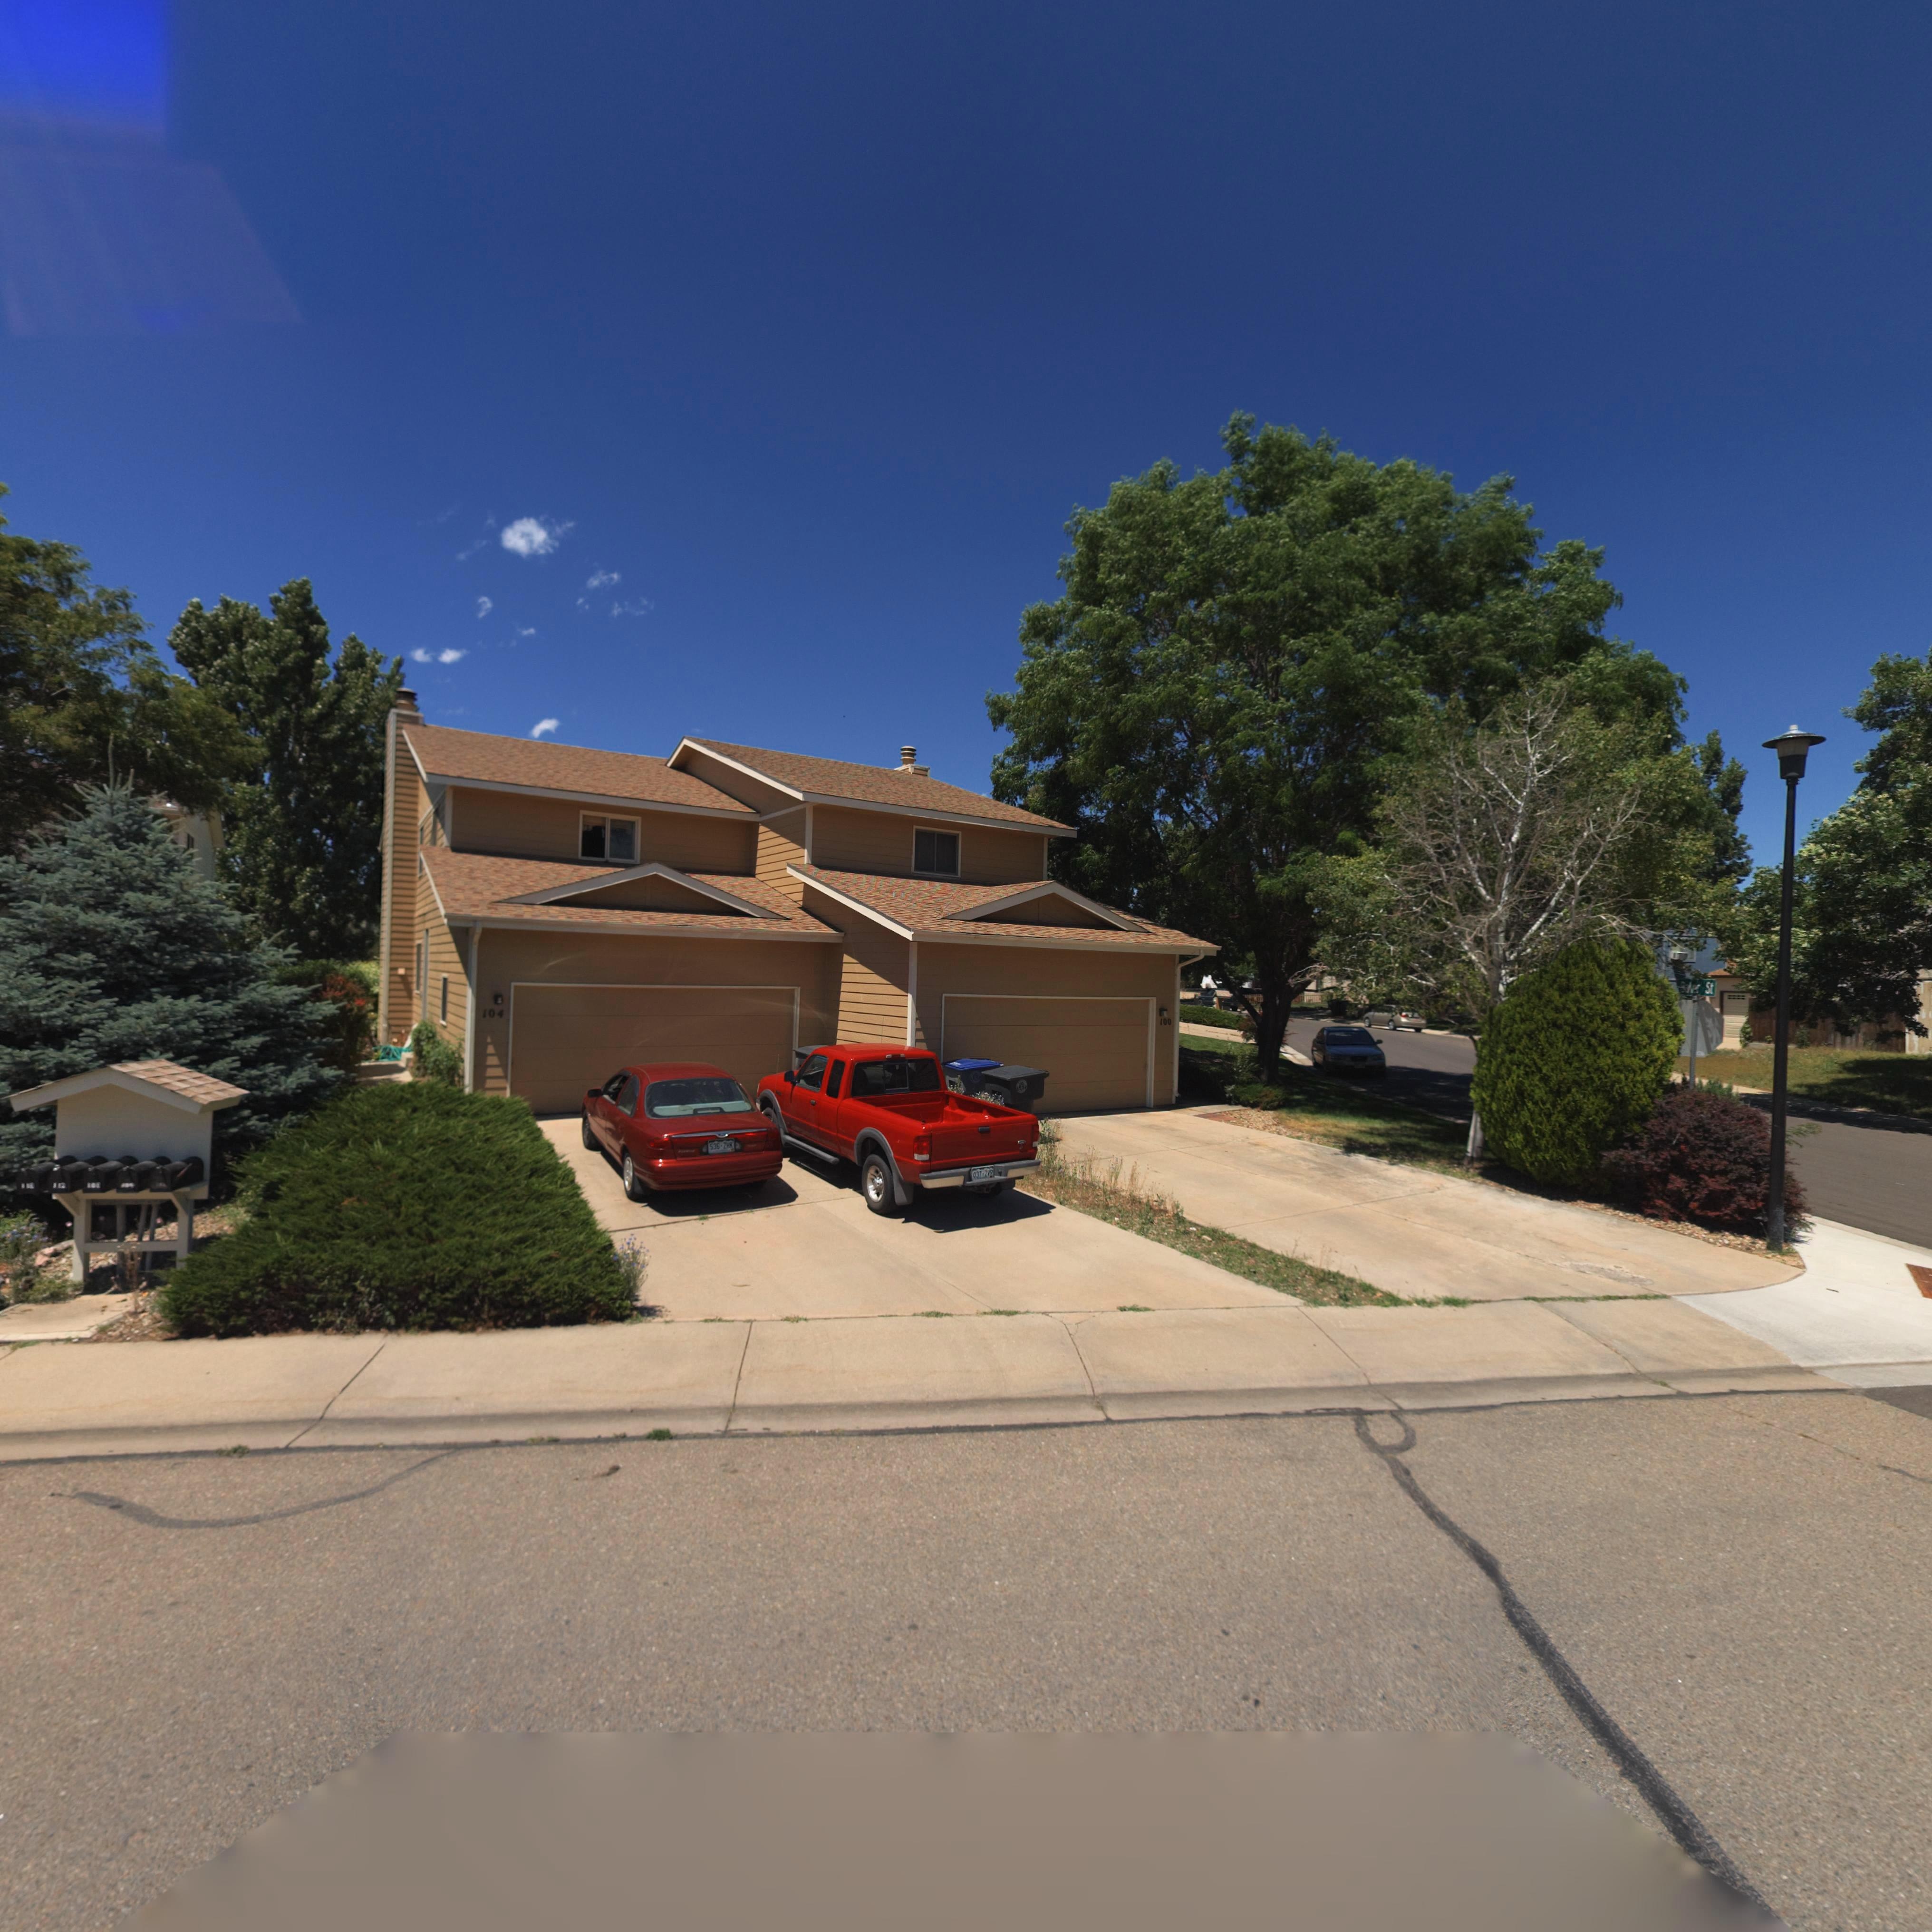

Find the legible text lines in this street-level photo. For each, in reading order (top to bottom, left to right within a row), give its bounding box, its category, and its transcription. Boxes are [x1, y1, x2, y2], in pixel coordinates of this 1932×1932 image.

[1679, 981, 1713, 994] StreetName: ****r St
[482, 1008, 504, 1018] StreetNumber: 104
[1160, 1018, 1171, 1025] StreetNumber: 100
[20, 1182, 34, 1189] StreetNumber: 116
[53, 1182, 65, 1189] StreetNumber: 112
[87, 1181, 101, 1188] StreetNumber: 108
[120, 1182, 134, 1188] StreetNumber: 10*